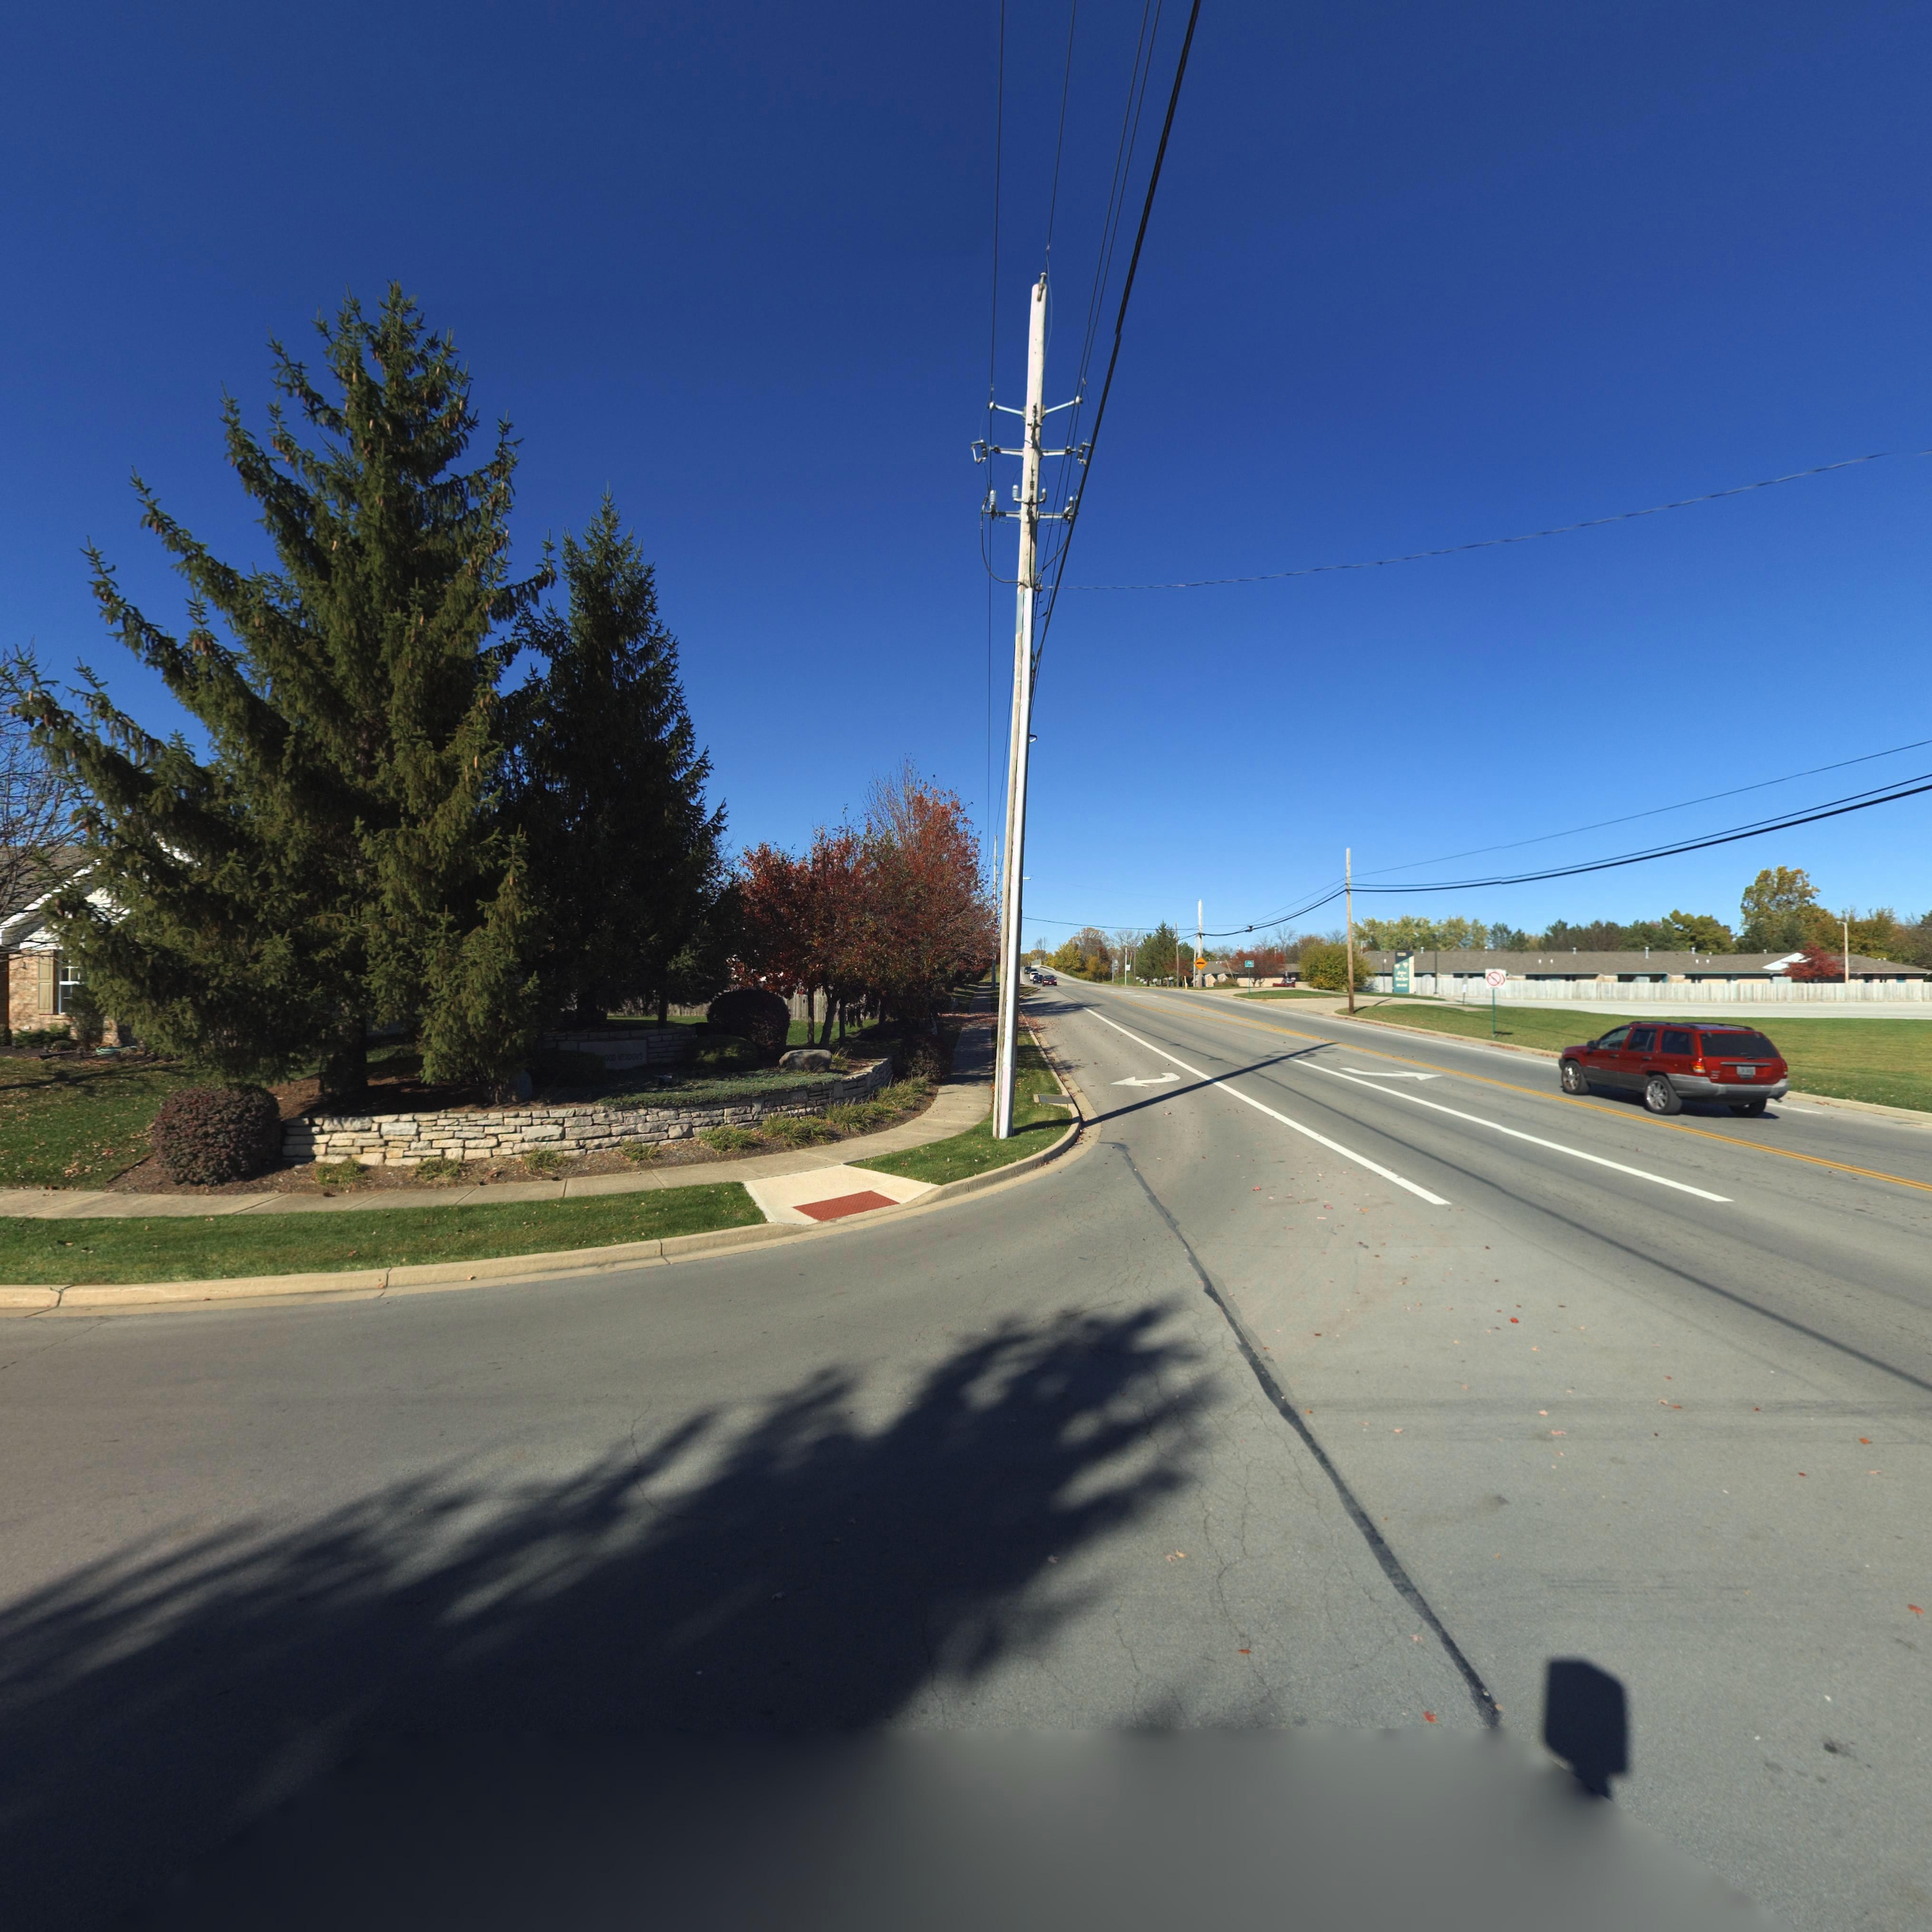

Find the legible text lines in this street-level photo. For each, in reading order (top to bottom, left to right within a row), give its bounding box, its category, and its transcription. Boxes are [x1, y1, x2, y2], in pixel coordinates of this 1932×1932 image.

[1396, 952, 1407, 956] StreetNumber: 1*30